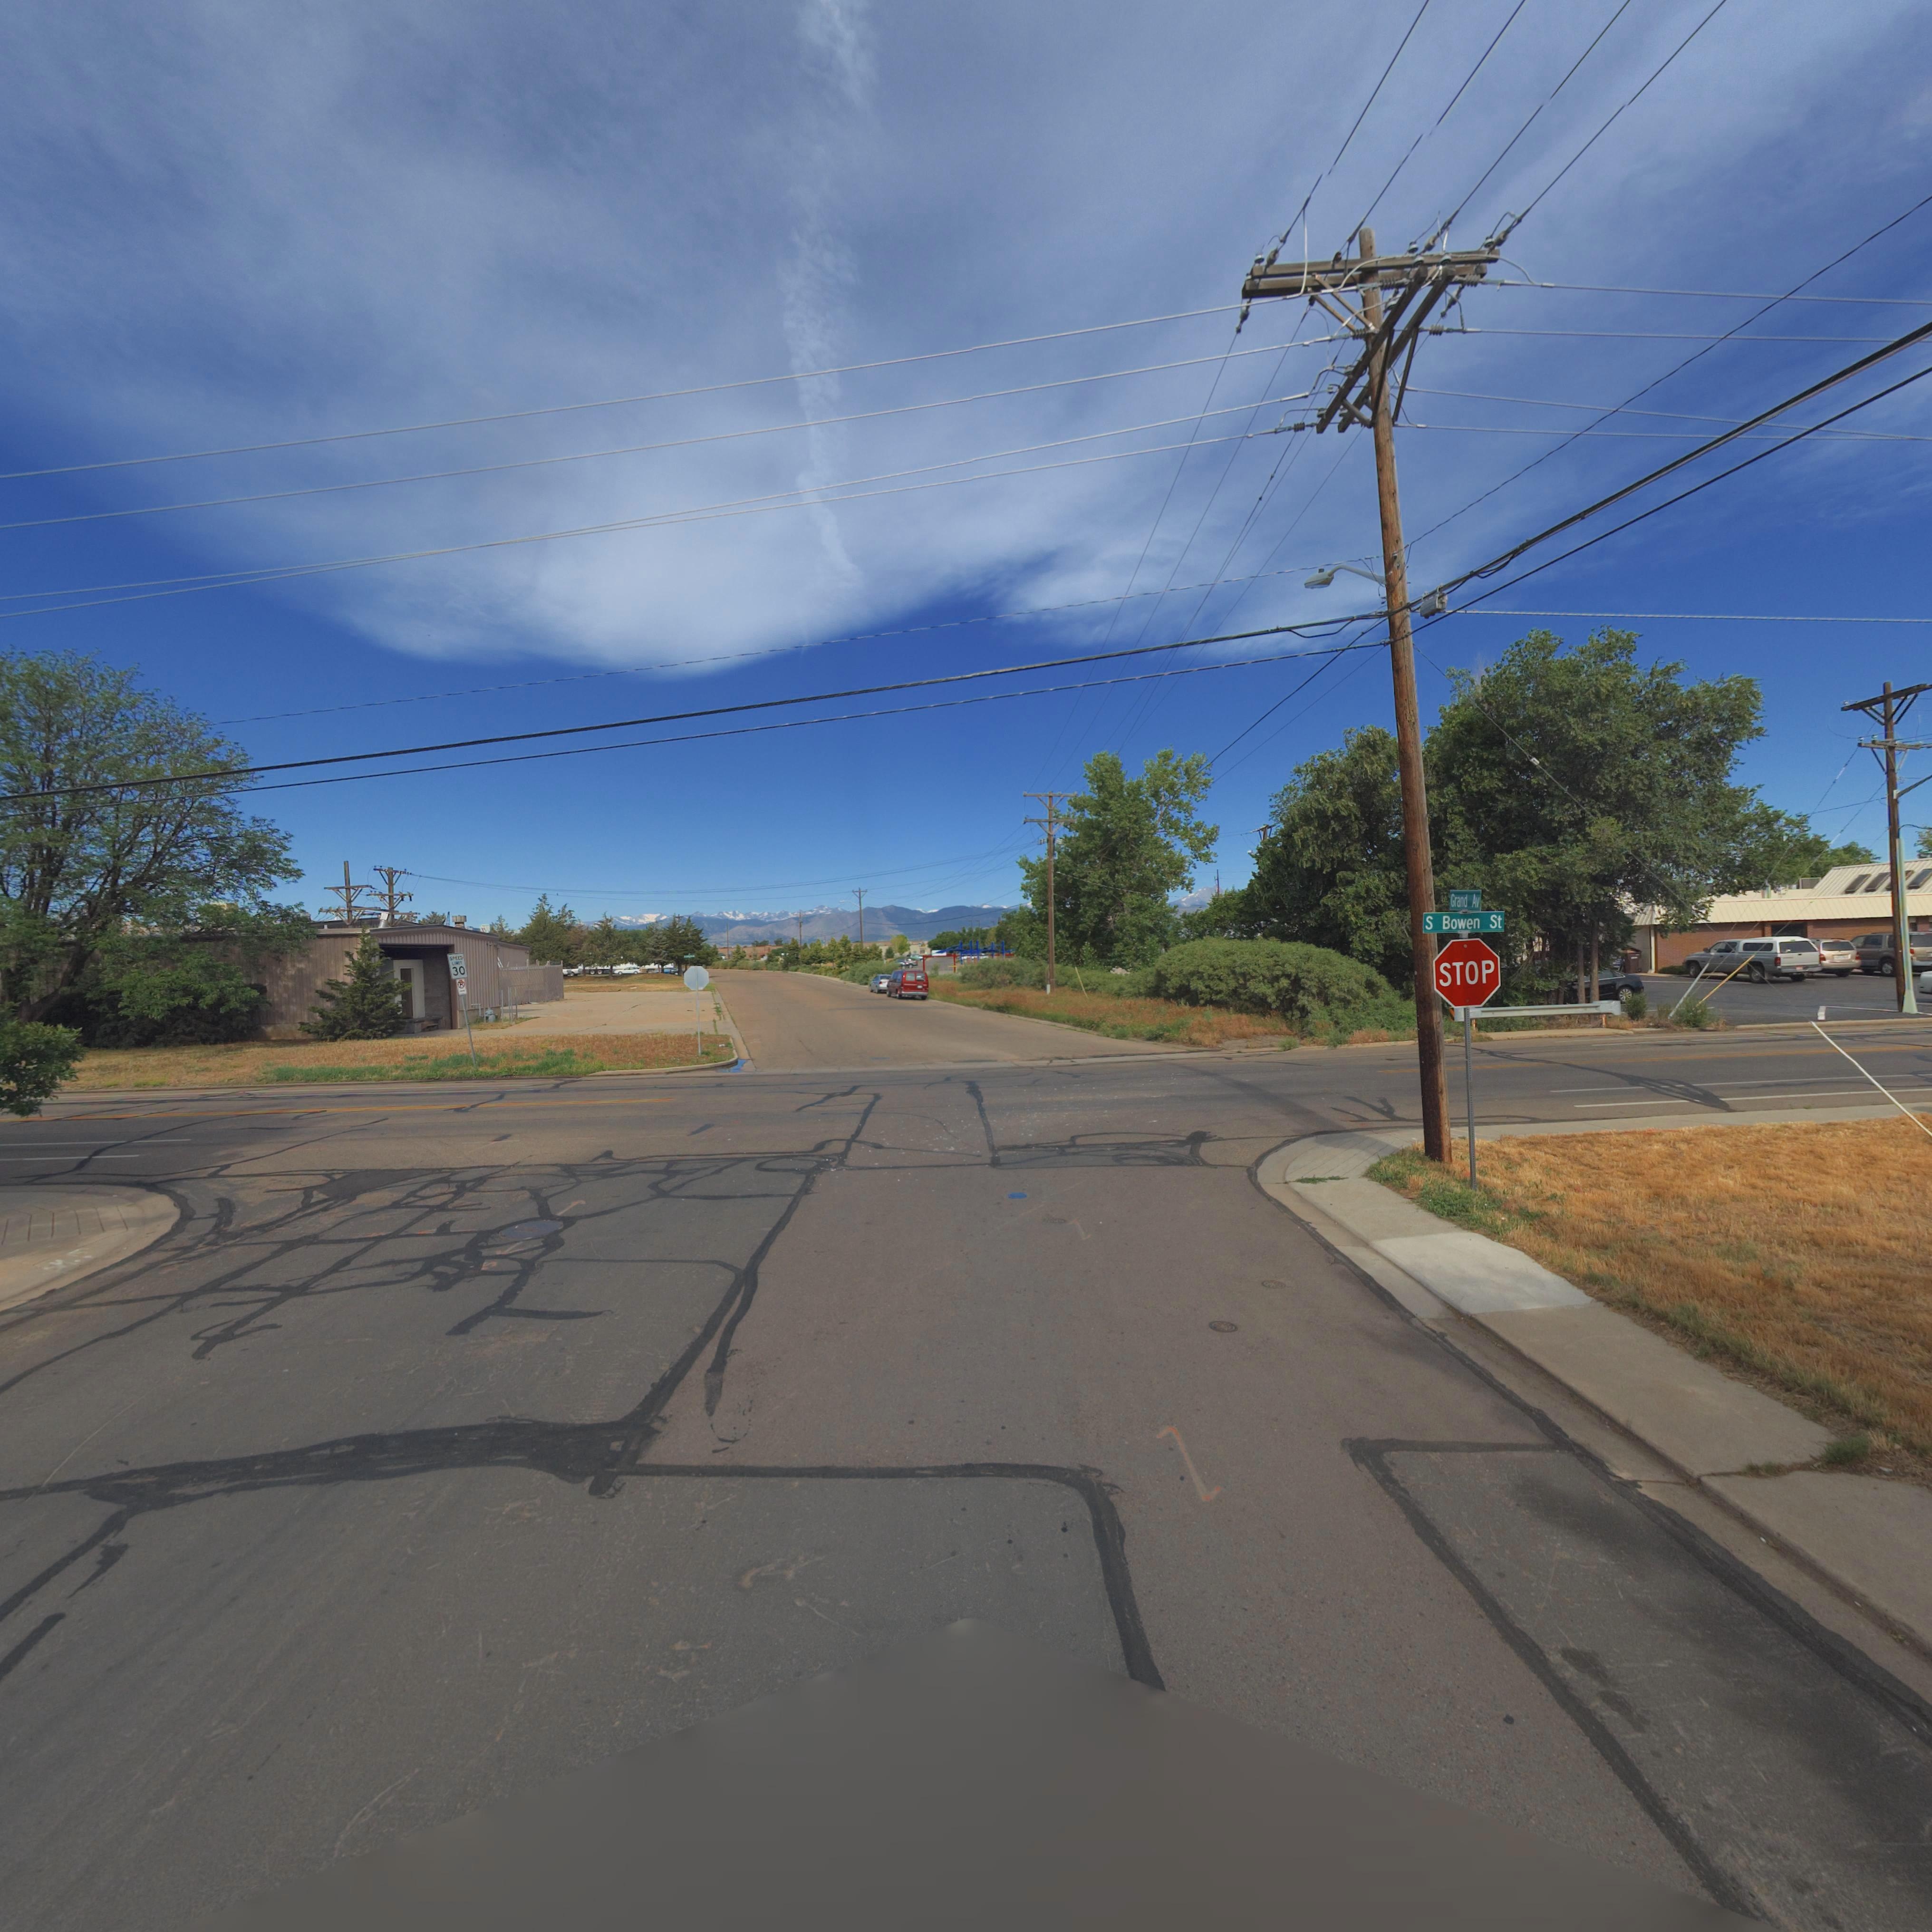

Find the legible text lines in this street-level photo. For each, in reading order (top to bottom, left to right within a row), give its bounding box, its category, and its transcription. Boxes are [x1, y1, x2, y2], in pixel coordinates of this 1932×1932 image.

[1449, 893, 1480, 908] StreetName: Grand Av
[1425, 914, 1503, 930] StreetName: S Bowen St